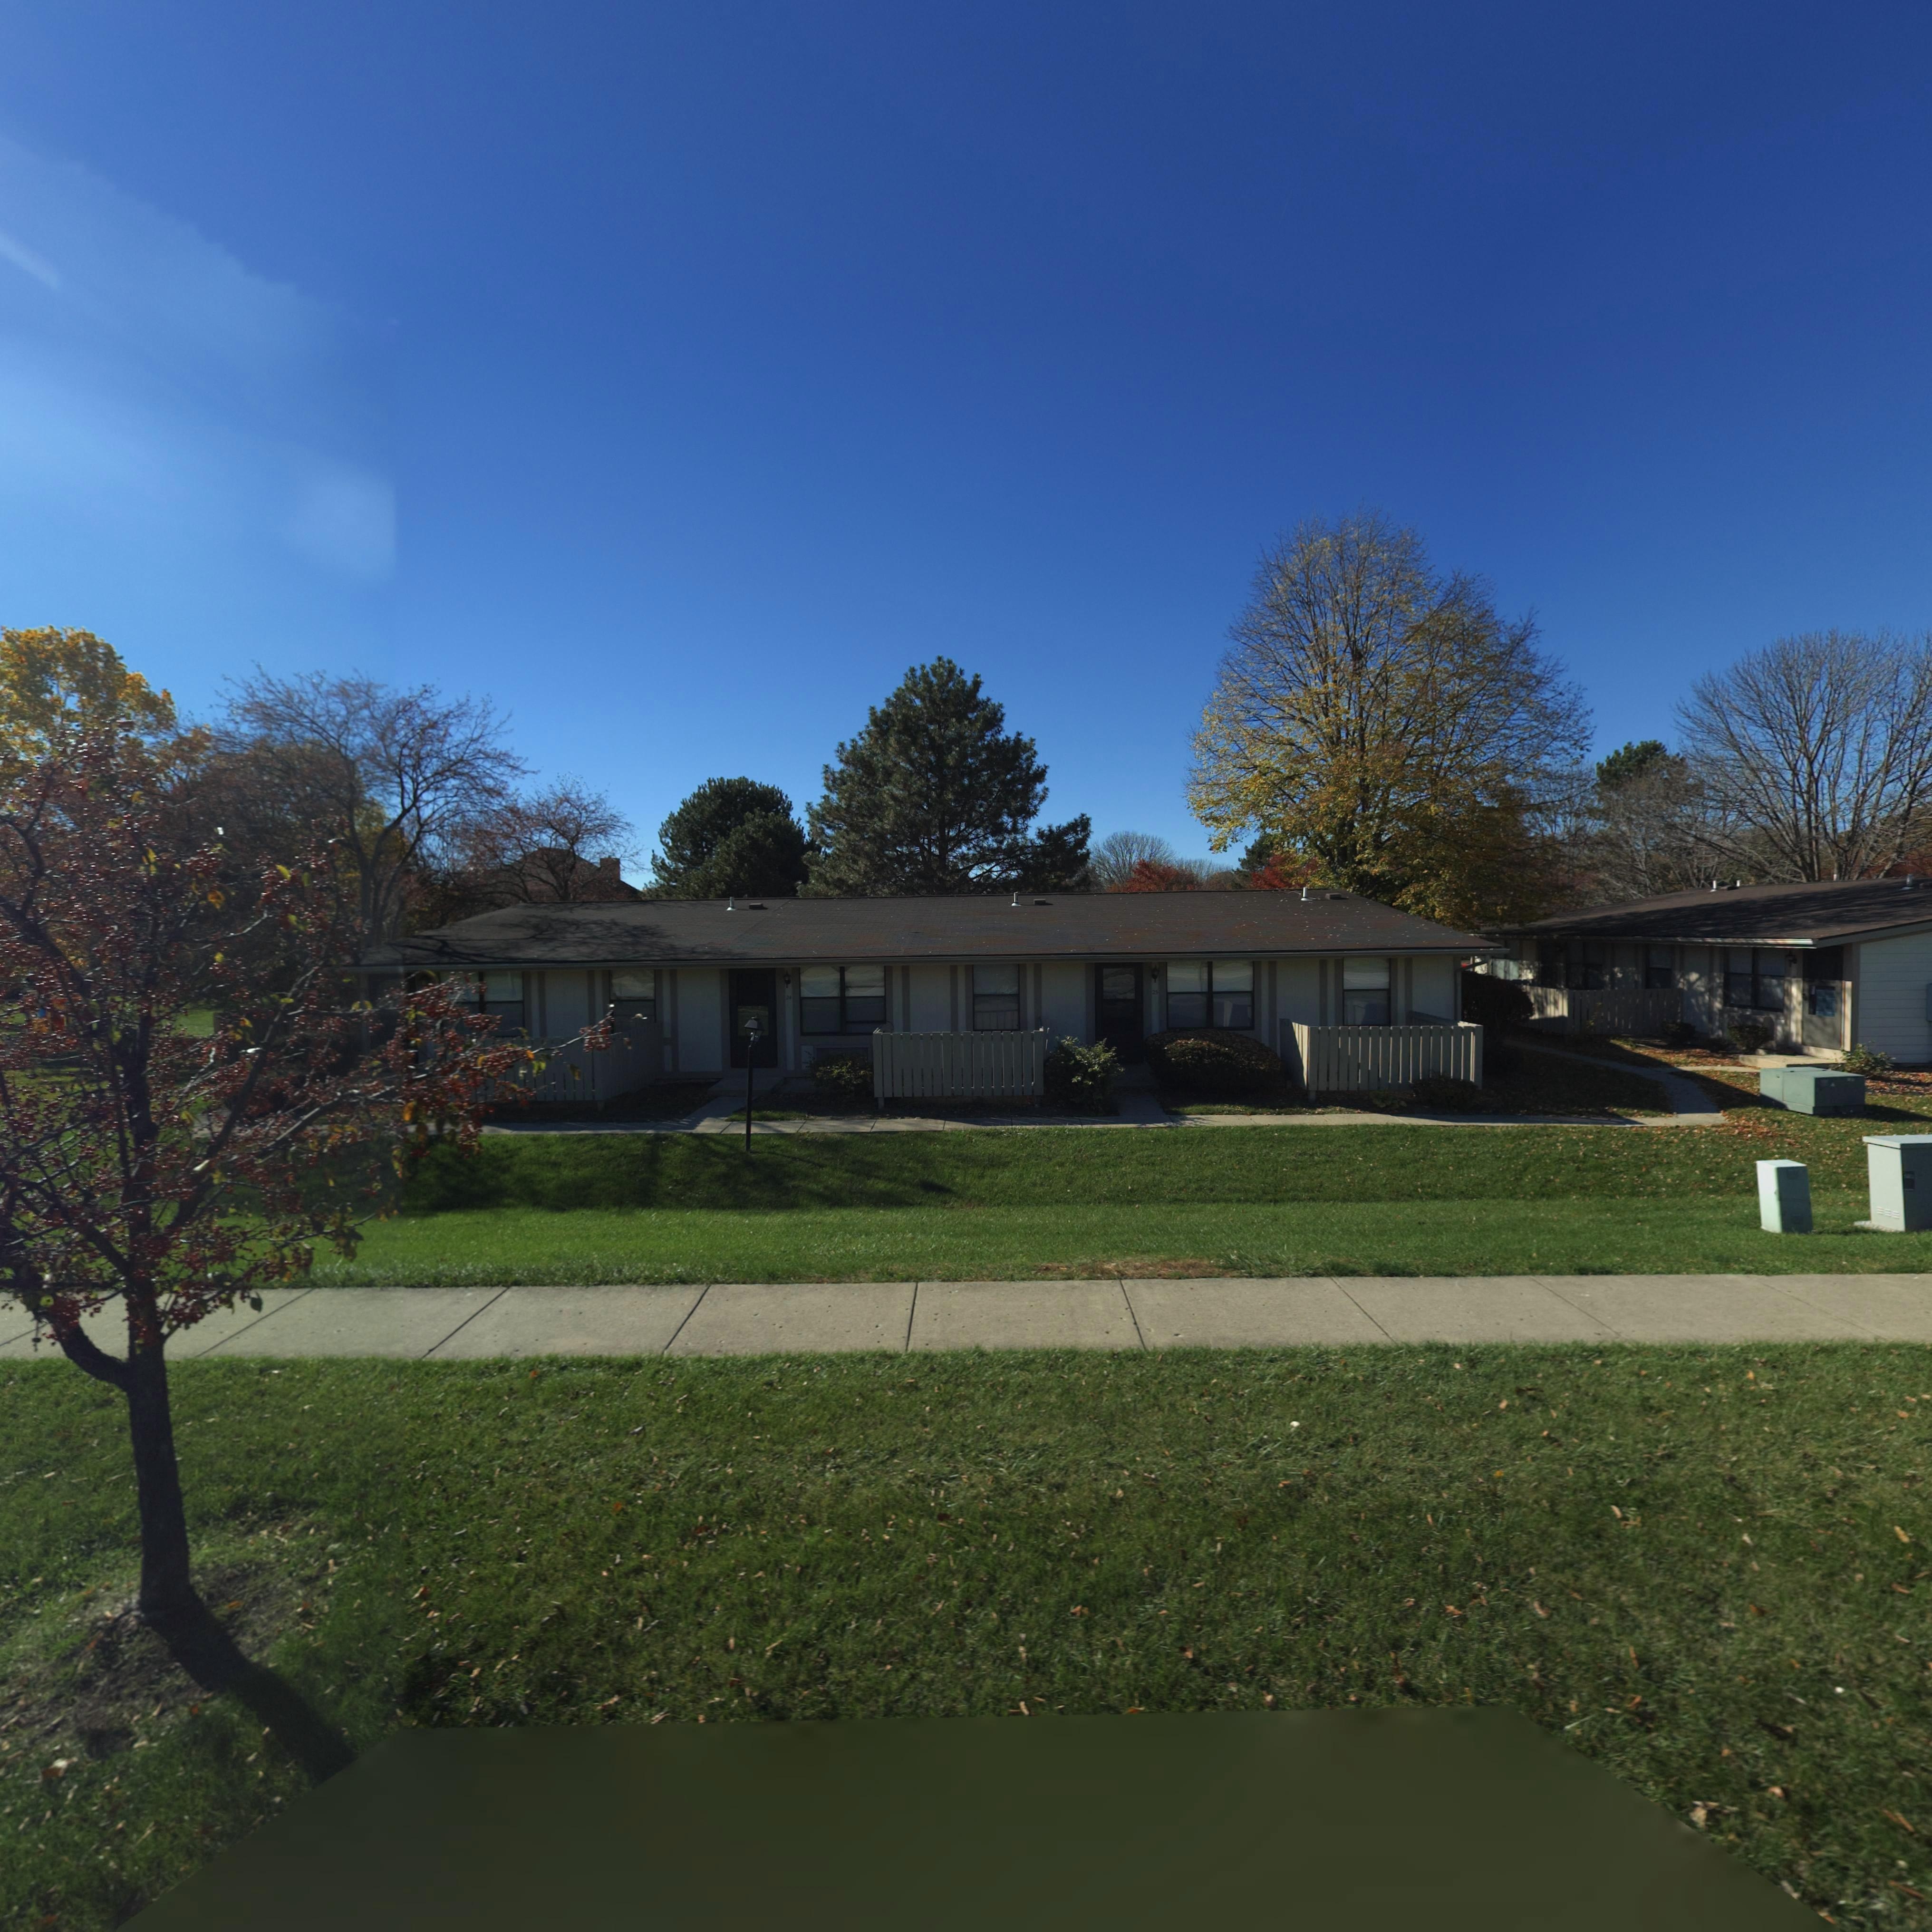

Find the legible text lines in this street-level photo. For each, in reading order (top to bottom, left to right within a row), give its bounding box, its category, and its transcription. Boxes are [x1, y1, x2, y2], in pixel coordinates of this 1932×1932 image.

[1151, 989, 1159, 995] StreetNumber: 2*
[785, 995, 792, 1001] StreetNumber: 24